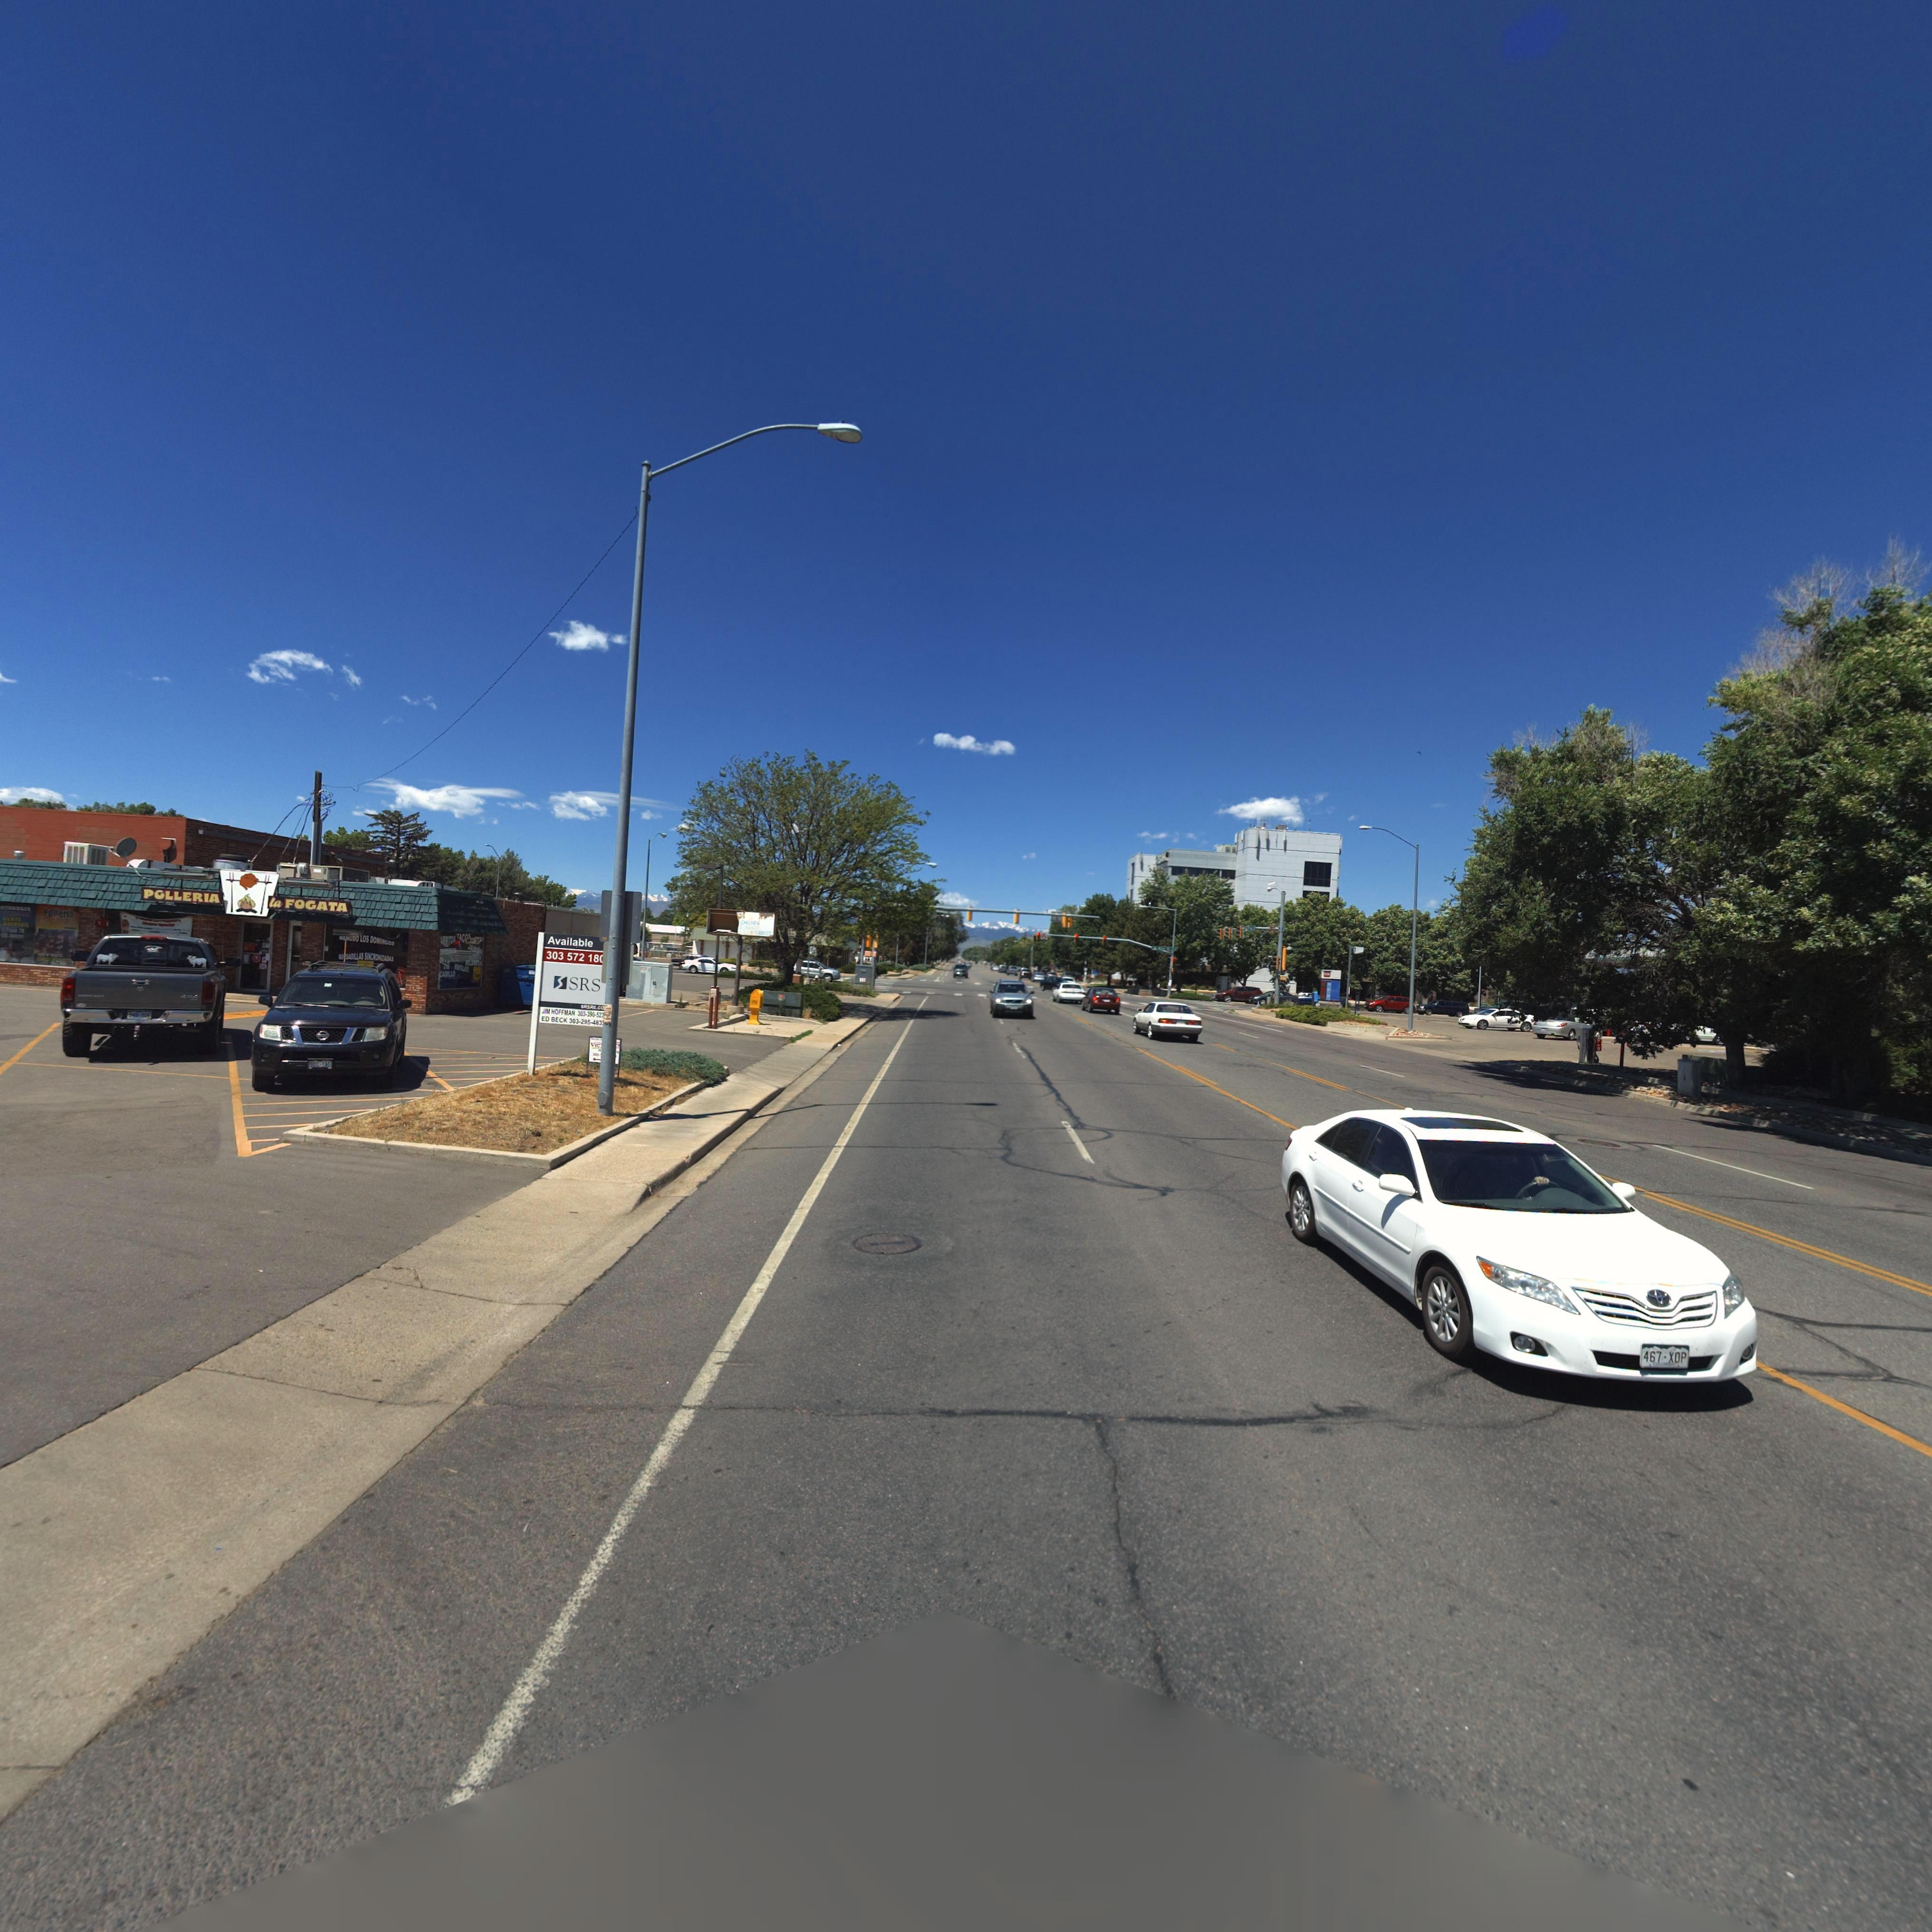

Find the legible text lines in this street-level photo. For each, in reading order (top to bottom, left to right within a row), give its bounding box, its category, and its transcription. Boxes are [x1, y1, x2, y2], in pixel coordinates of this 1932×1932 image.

[142, 888, 348, 913] BusinessName: POLLERIA la FOGATA
[590, 1042, 600, 1047] BusinessName: VIC